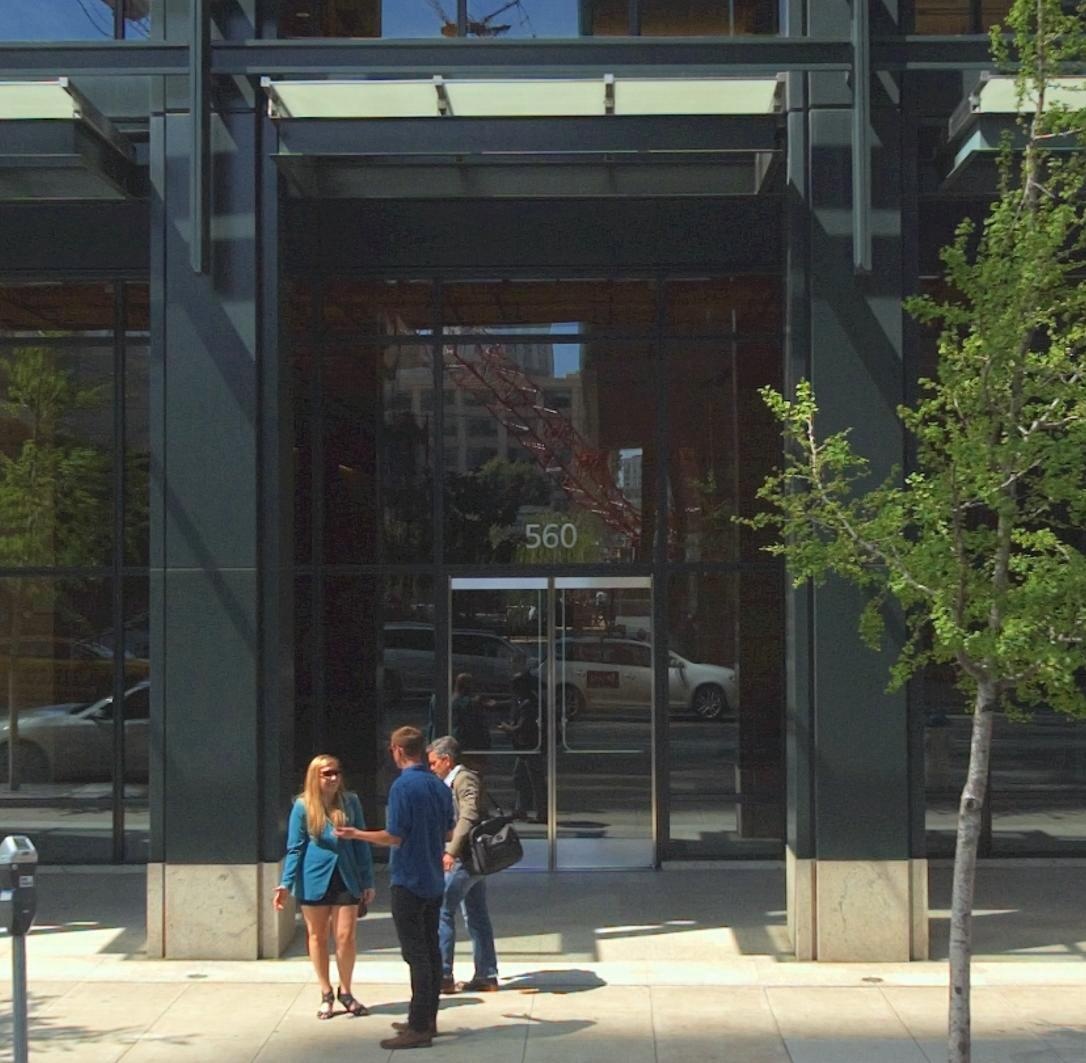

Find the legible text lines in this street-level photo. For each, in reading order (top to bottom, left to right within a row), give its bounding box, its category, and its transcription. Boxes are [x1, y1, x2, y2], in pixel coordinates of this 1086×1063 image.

[521, 518, 579, 553] StreetNumber: 560